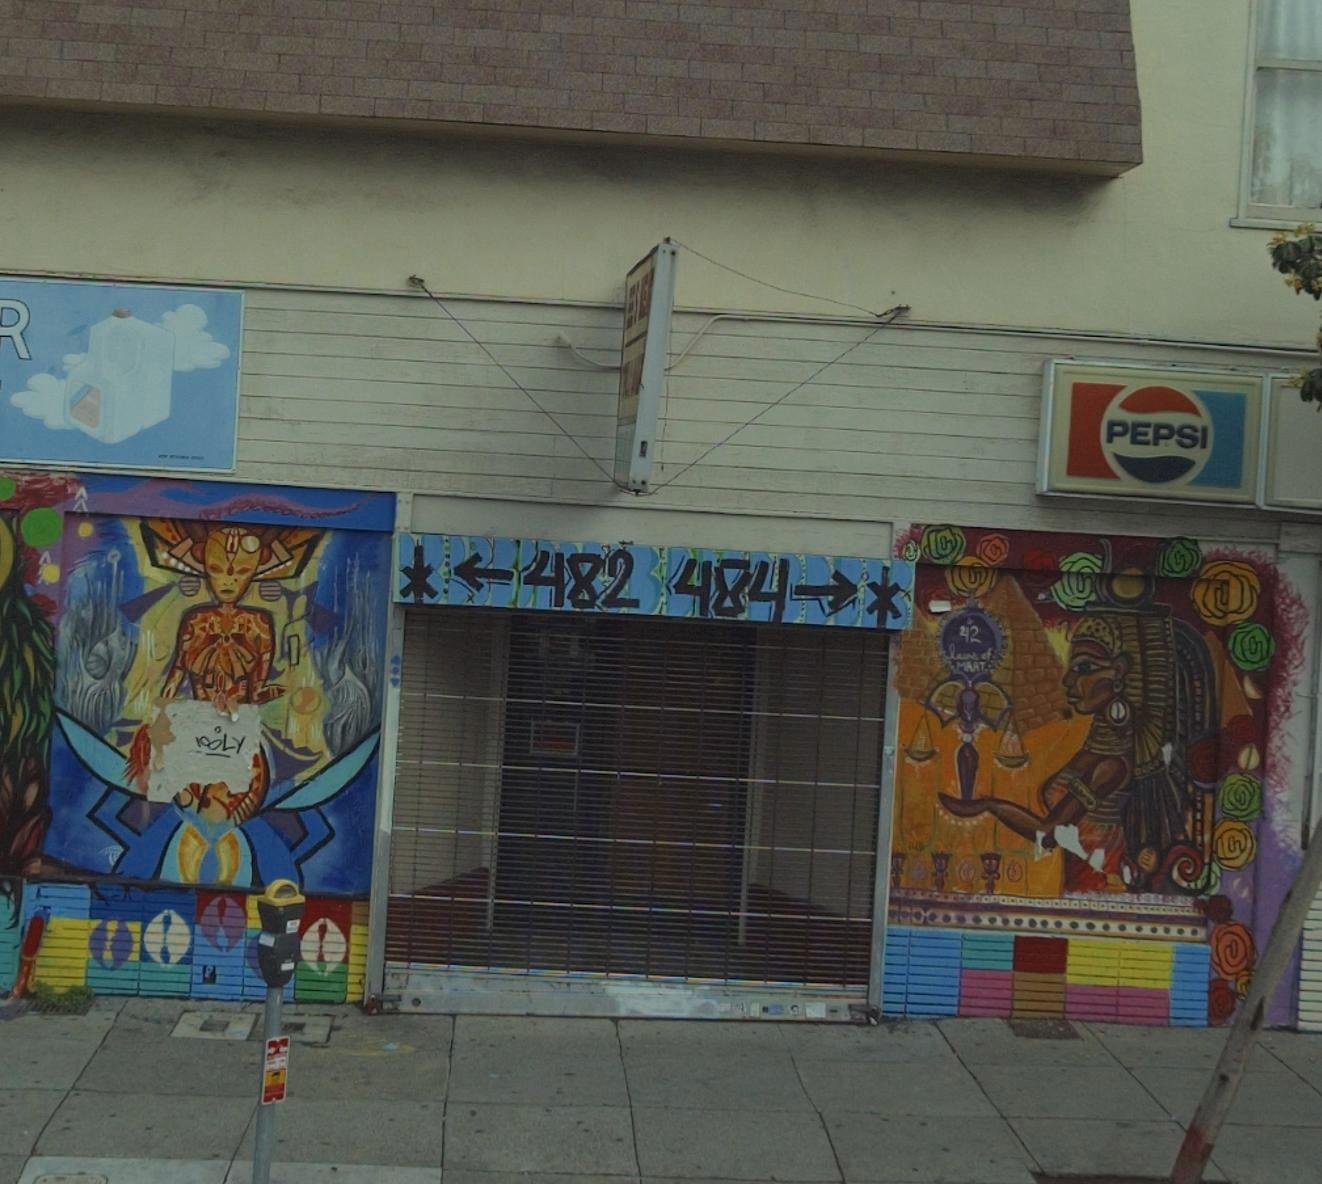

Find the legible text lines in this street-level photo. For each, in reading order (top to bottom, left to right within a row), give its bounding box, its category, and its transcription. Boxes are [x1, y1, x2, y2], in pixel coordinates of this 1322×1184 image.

[1102, 414, 1212, 454] None: PEPSI
[516, 545, 643, 612] StreetNumber: 482
[665, 553, 796, 629] StreetNumber: 484
[954, 621, 985, 646] None: 42